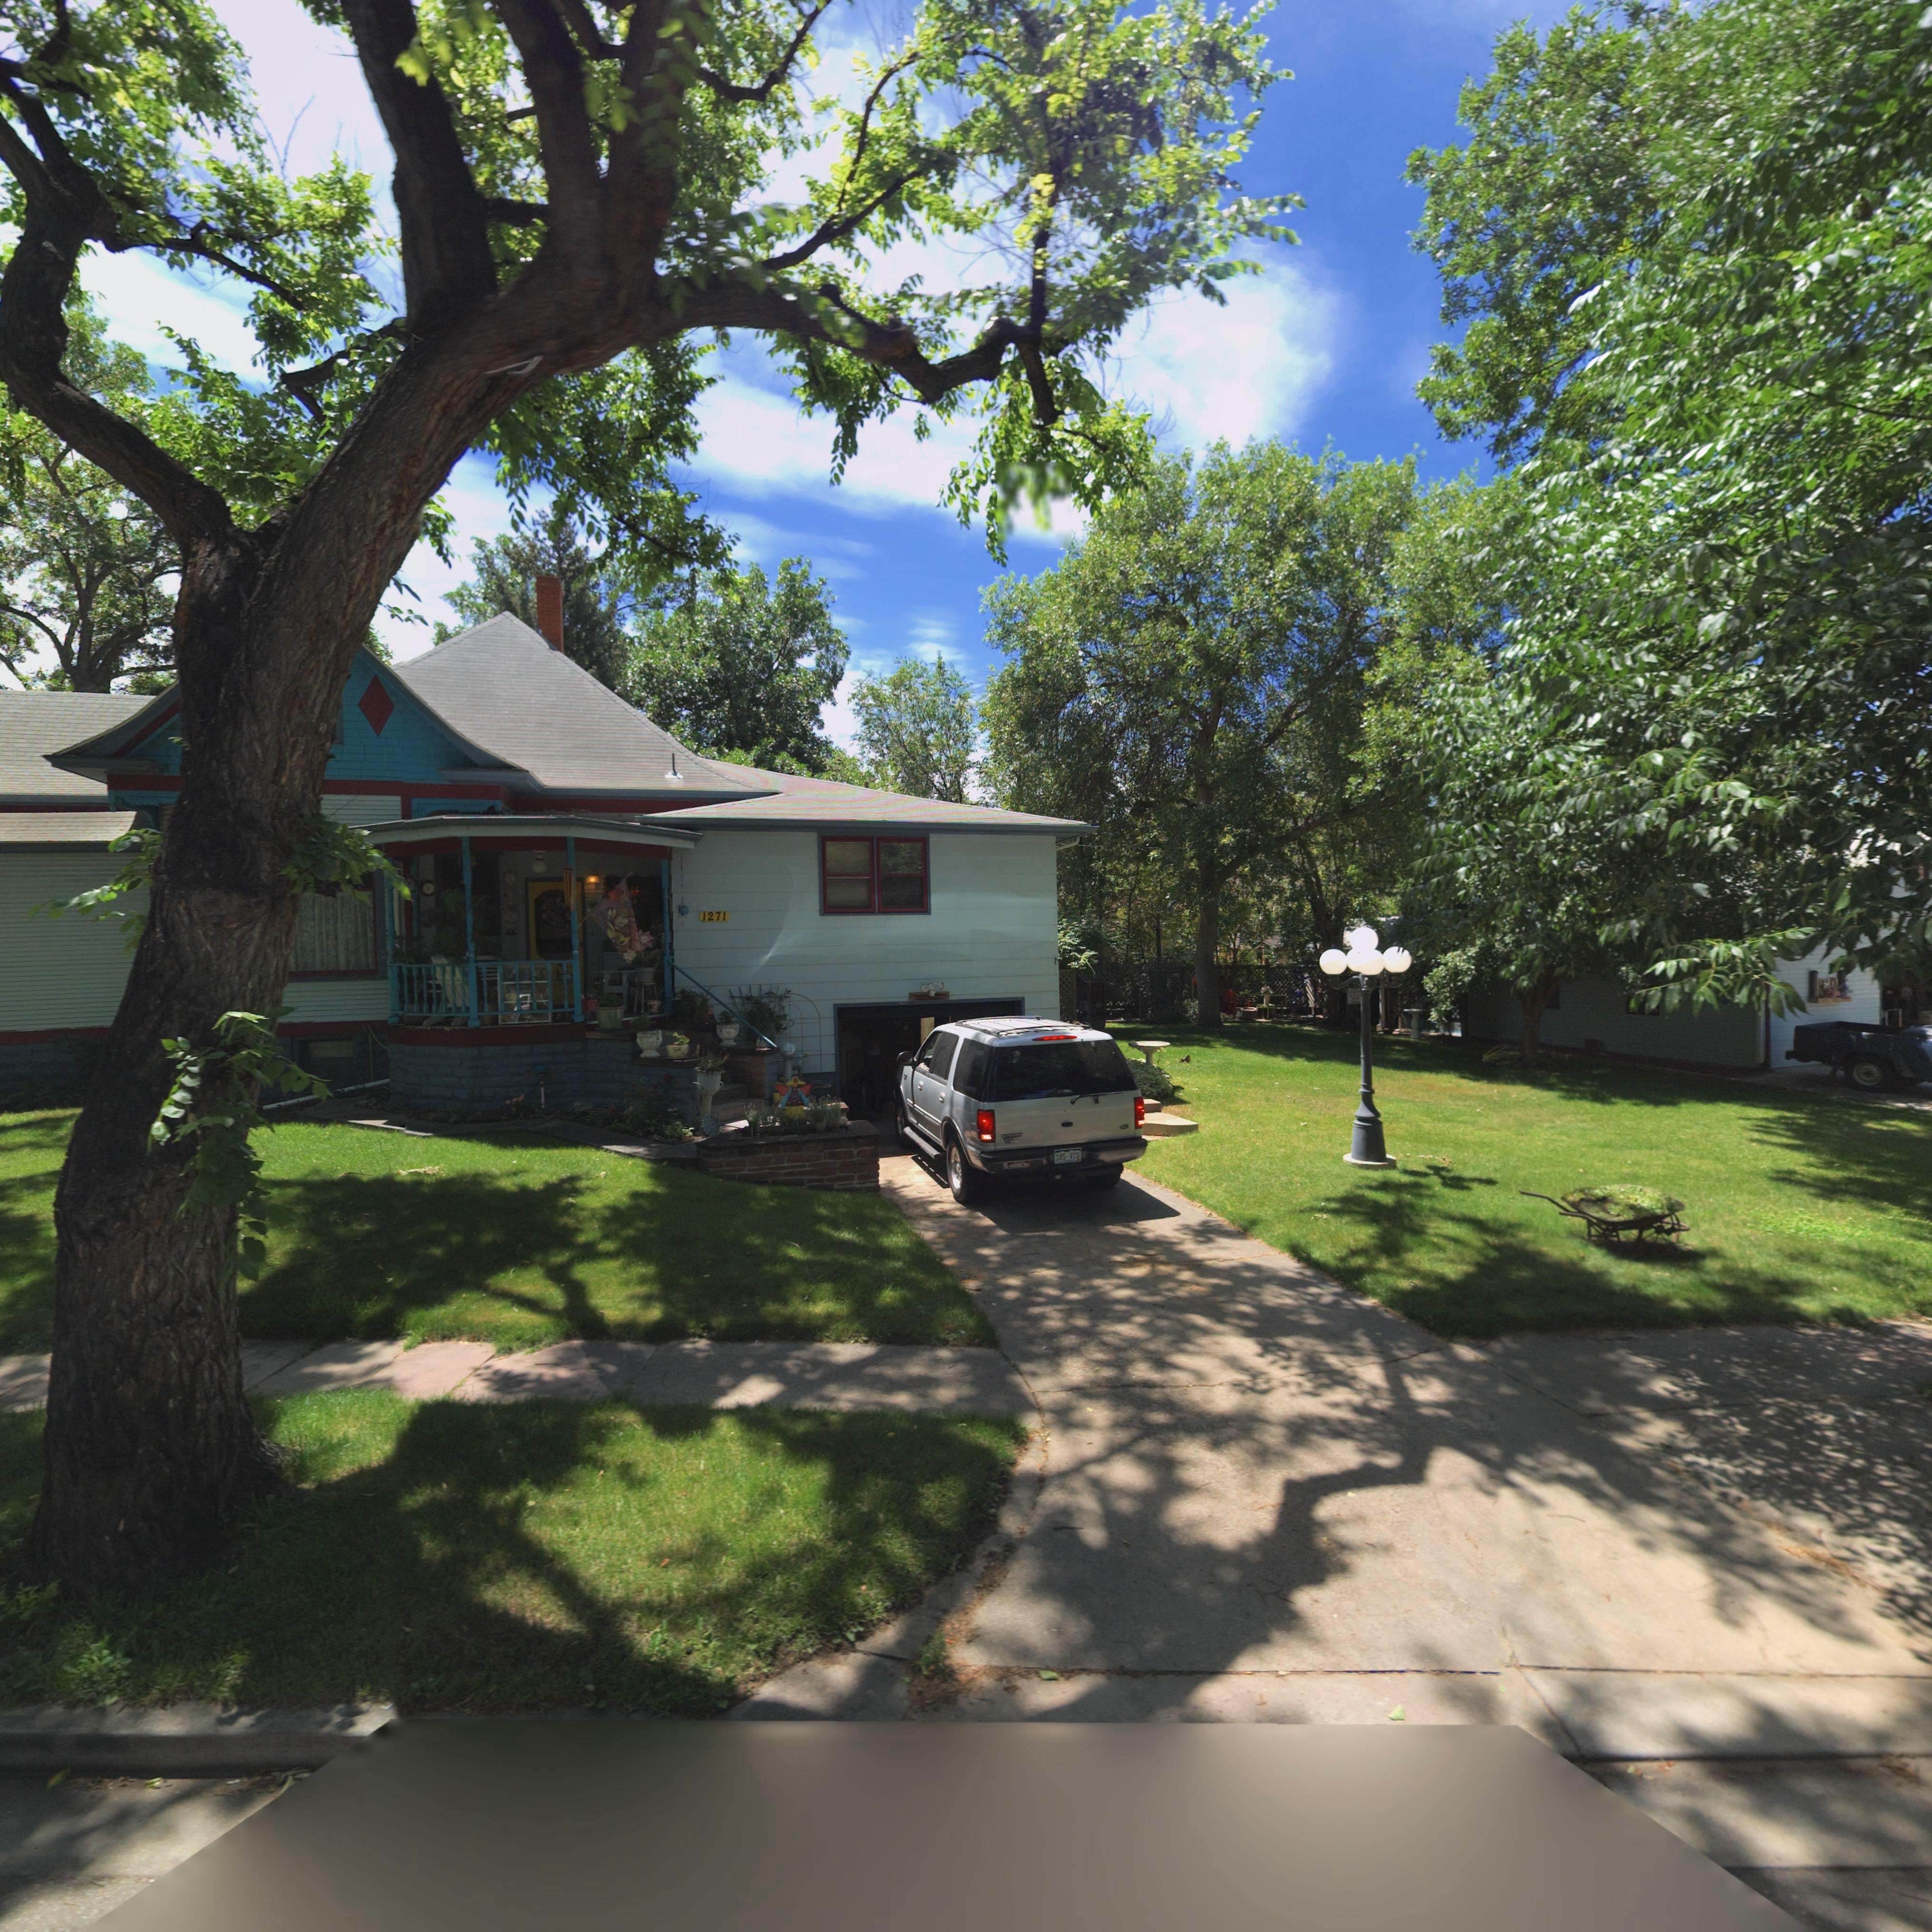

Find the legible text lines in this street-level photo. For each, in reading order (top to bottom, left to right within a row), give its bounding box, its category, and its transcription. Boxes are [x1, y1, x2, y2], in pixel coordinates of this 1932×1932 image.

[702, 910, 726, 921] StreetNumber: 1271